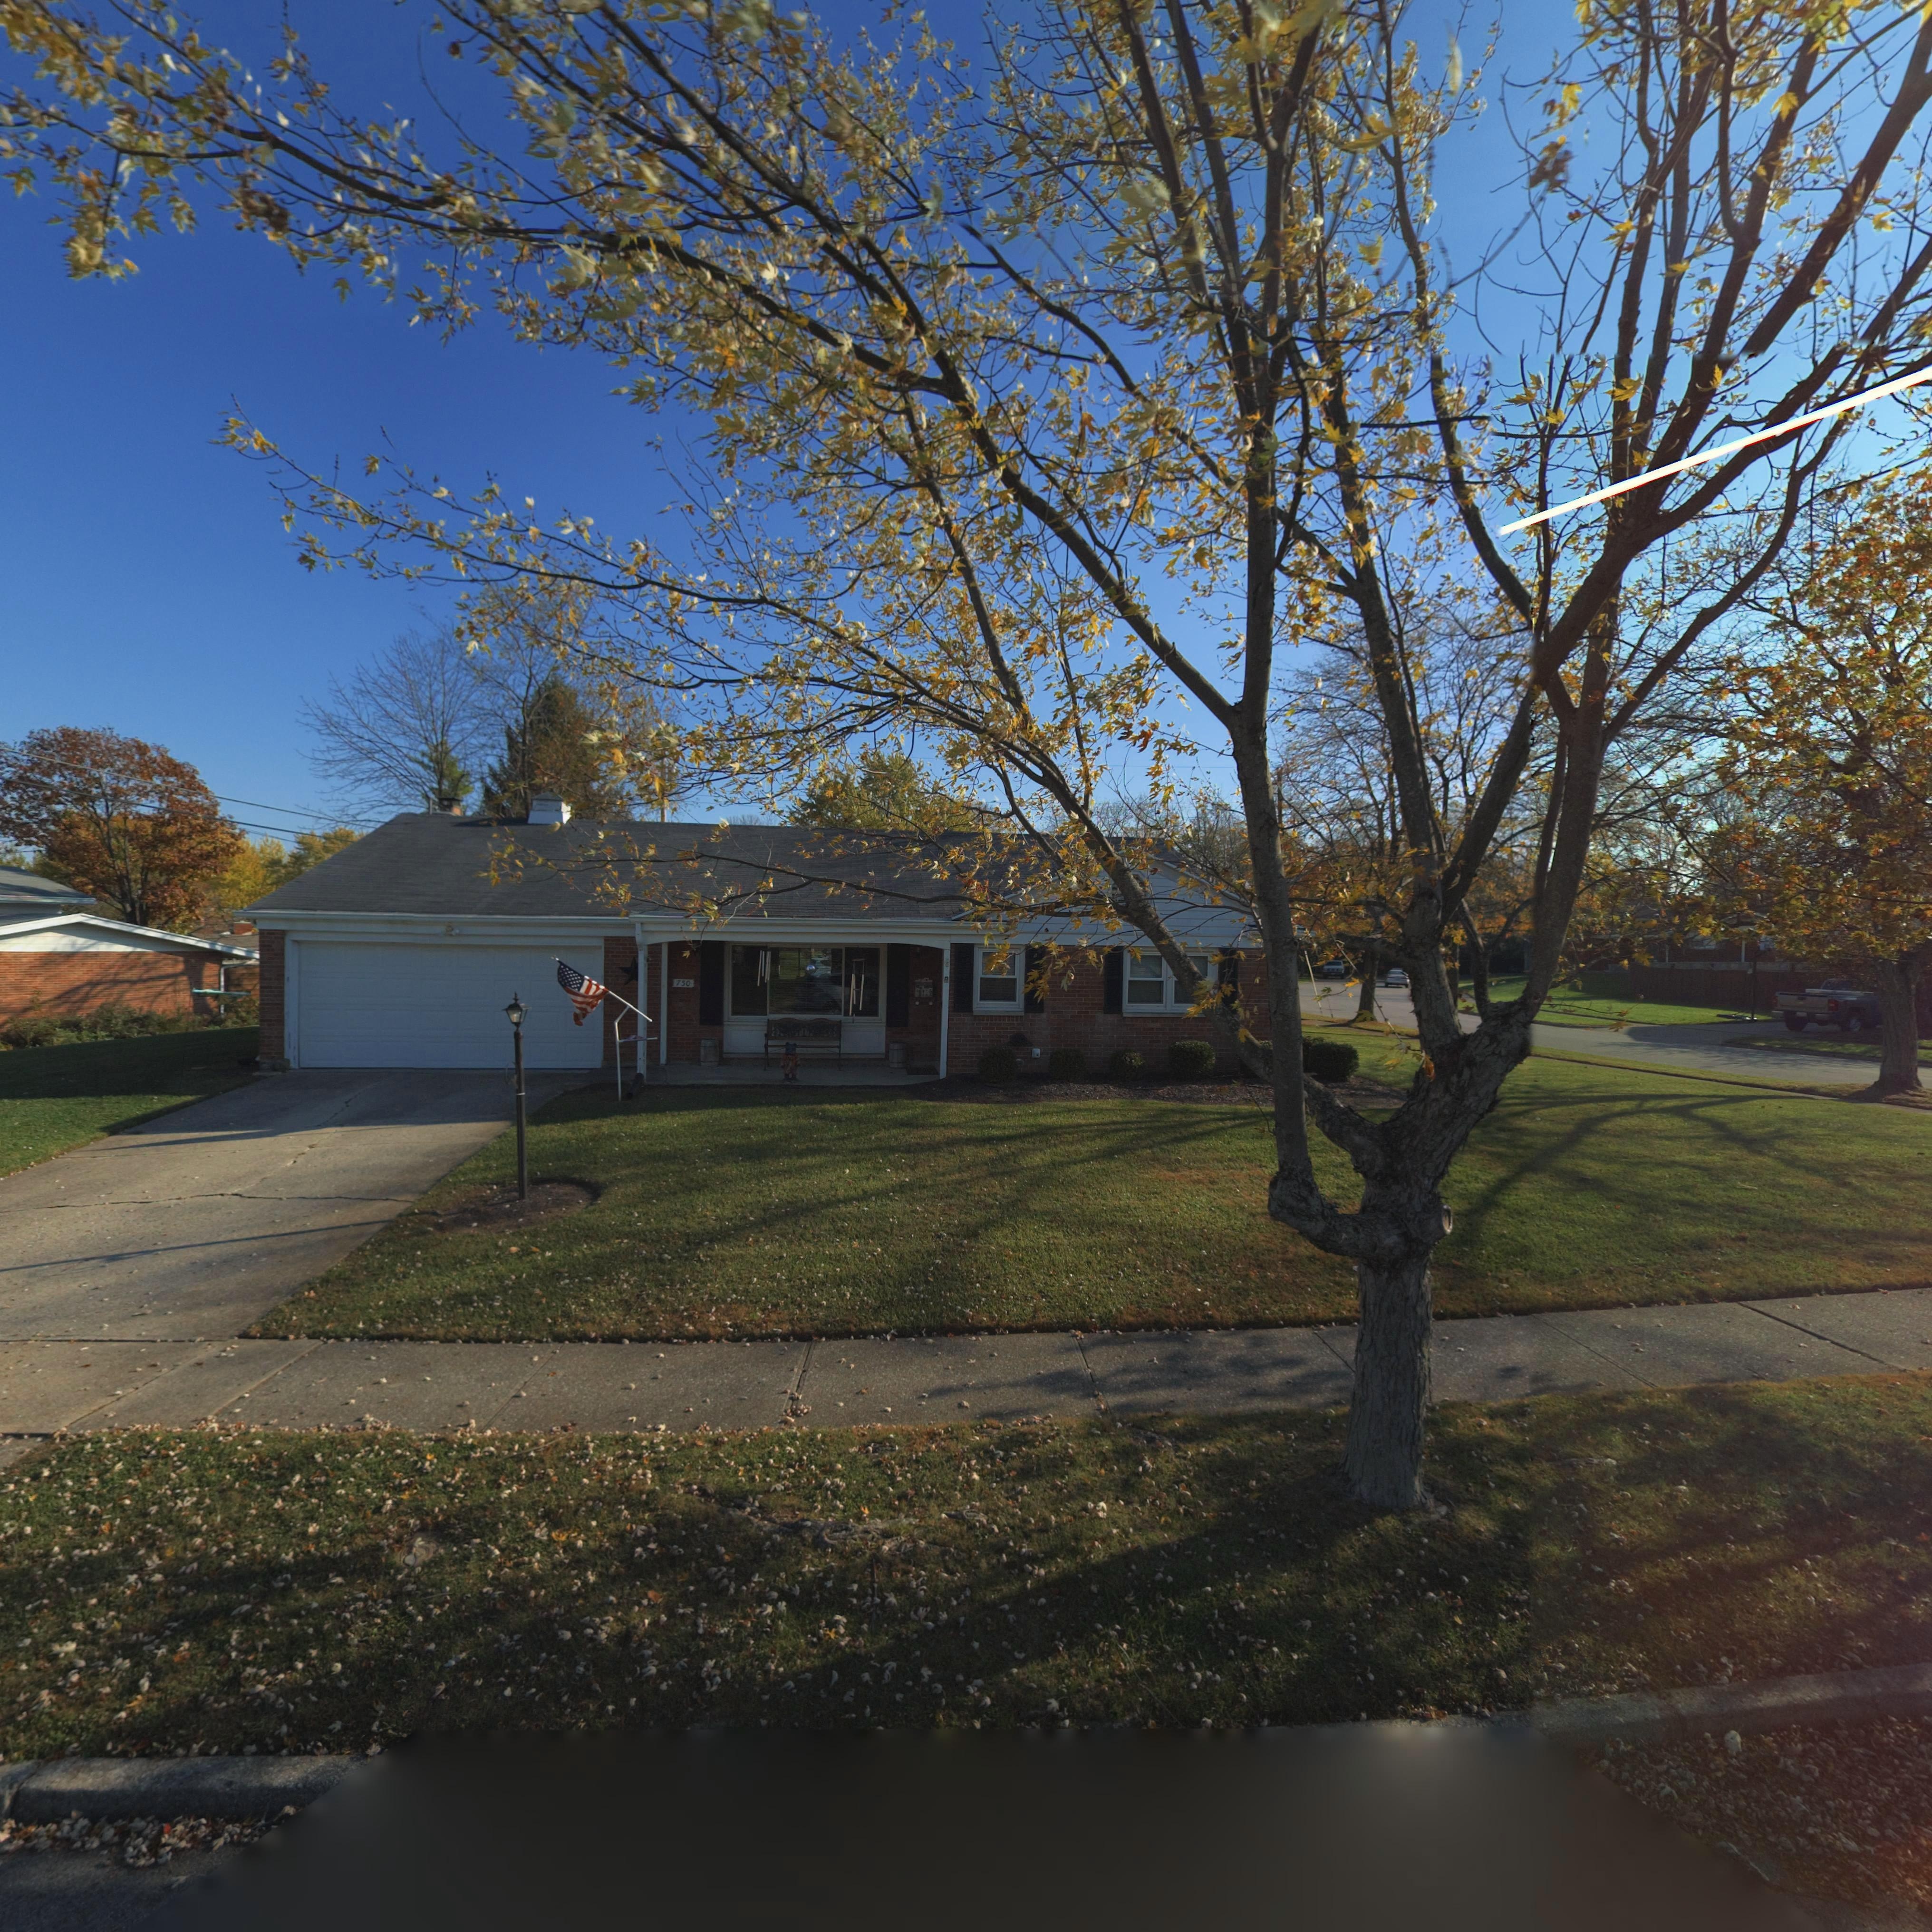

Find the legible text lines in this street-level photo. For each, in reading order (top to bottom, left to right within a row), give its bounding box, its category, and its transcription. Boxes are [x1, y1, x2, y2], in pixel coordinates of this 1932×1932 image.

[676, 979, 691, 986] StreetNumber: 750